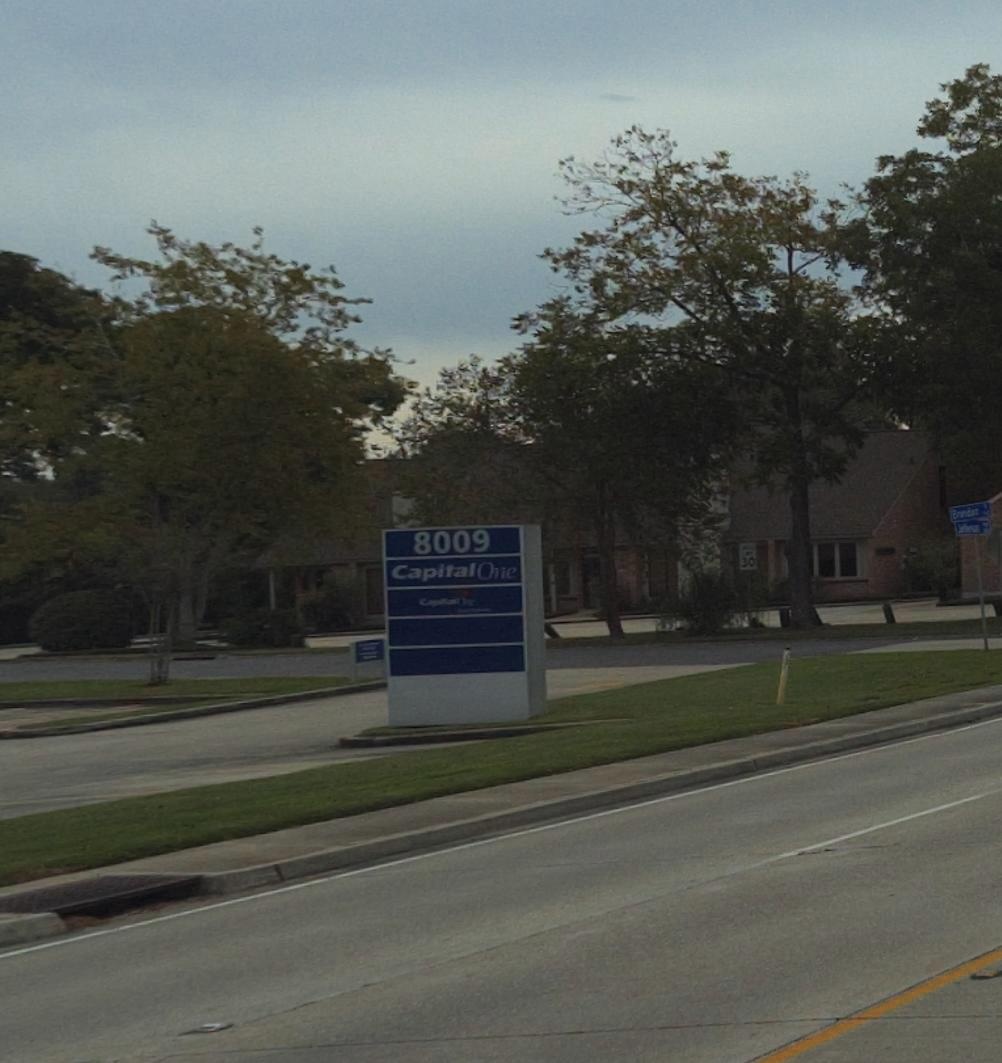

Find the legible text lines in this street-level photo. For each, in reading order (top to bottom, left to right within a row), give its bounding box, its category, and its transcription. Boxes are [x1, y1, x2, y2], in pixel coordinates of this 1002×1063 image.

[951, 506, 980, 520] None: Bre*don
[411, 529, 492, 555] StreetNumber: 8009
[741, 551, 754, 555] None: LIMIT
[741, 556, 754, 567] None: 30
[391, 559, 519, 582] None: CapitalOne
[419, 598, 475, 606] None: CapitalOne
[456, 606, 493, 611] None: Investments